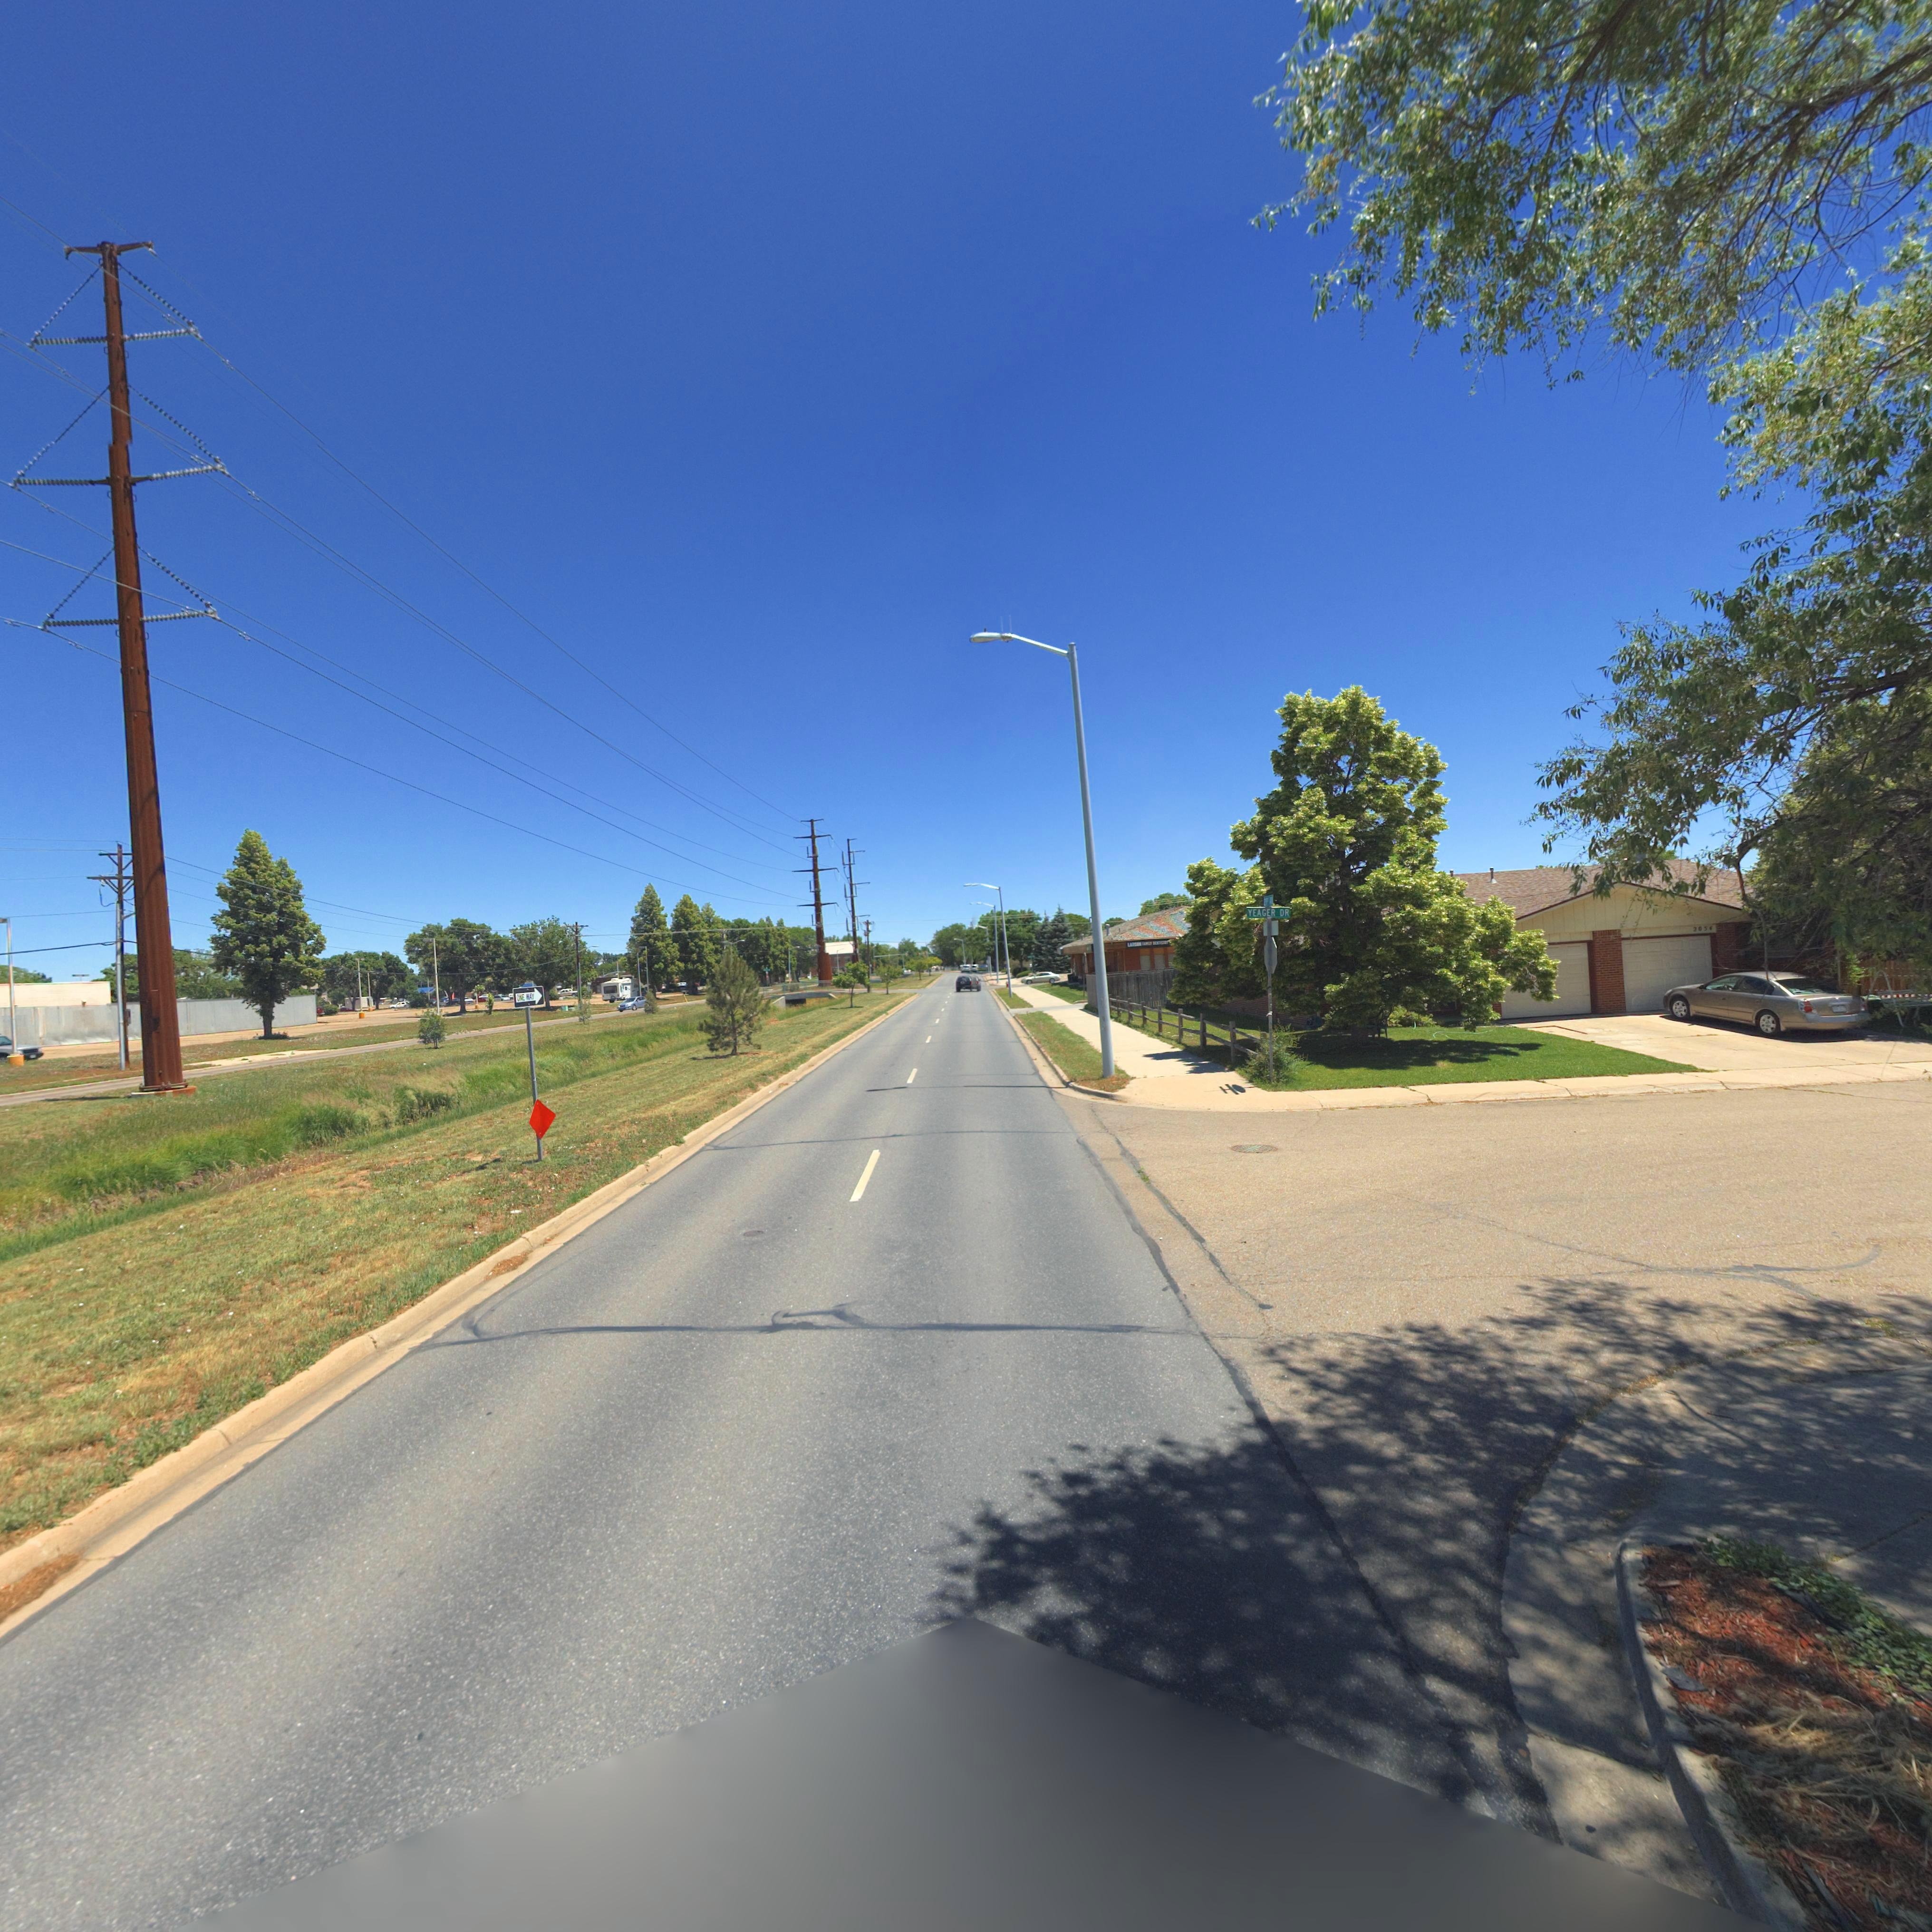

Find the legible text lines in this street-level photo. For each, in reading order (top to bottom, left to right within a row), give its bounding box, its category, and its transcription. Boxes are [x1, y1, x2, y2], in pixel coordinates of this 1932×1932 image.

[1264, 897, 1272, 906] None: 2* AV
[1248, 909, 1288, 916] StreetName: YEAGER DR